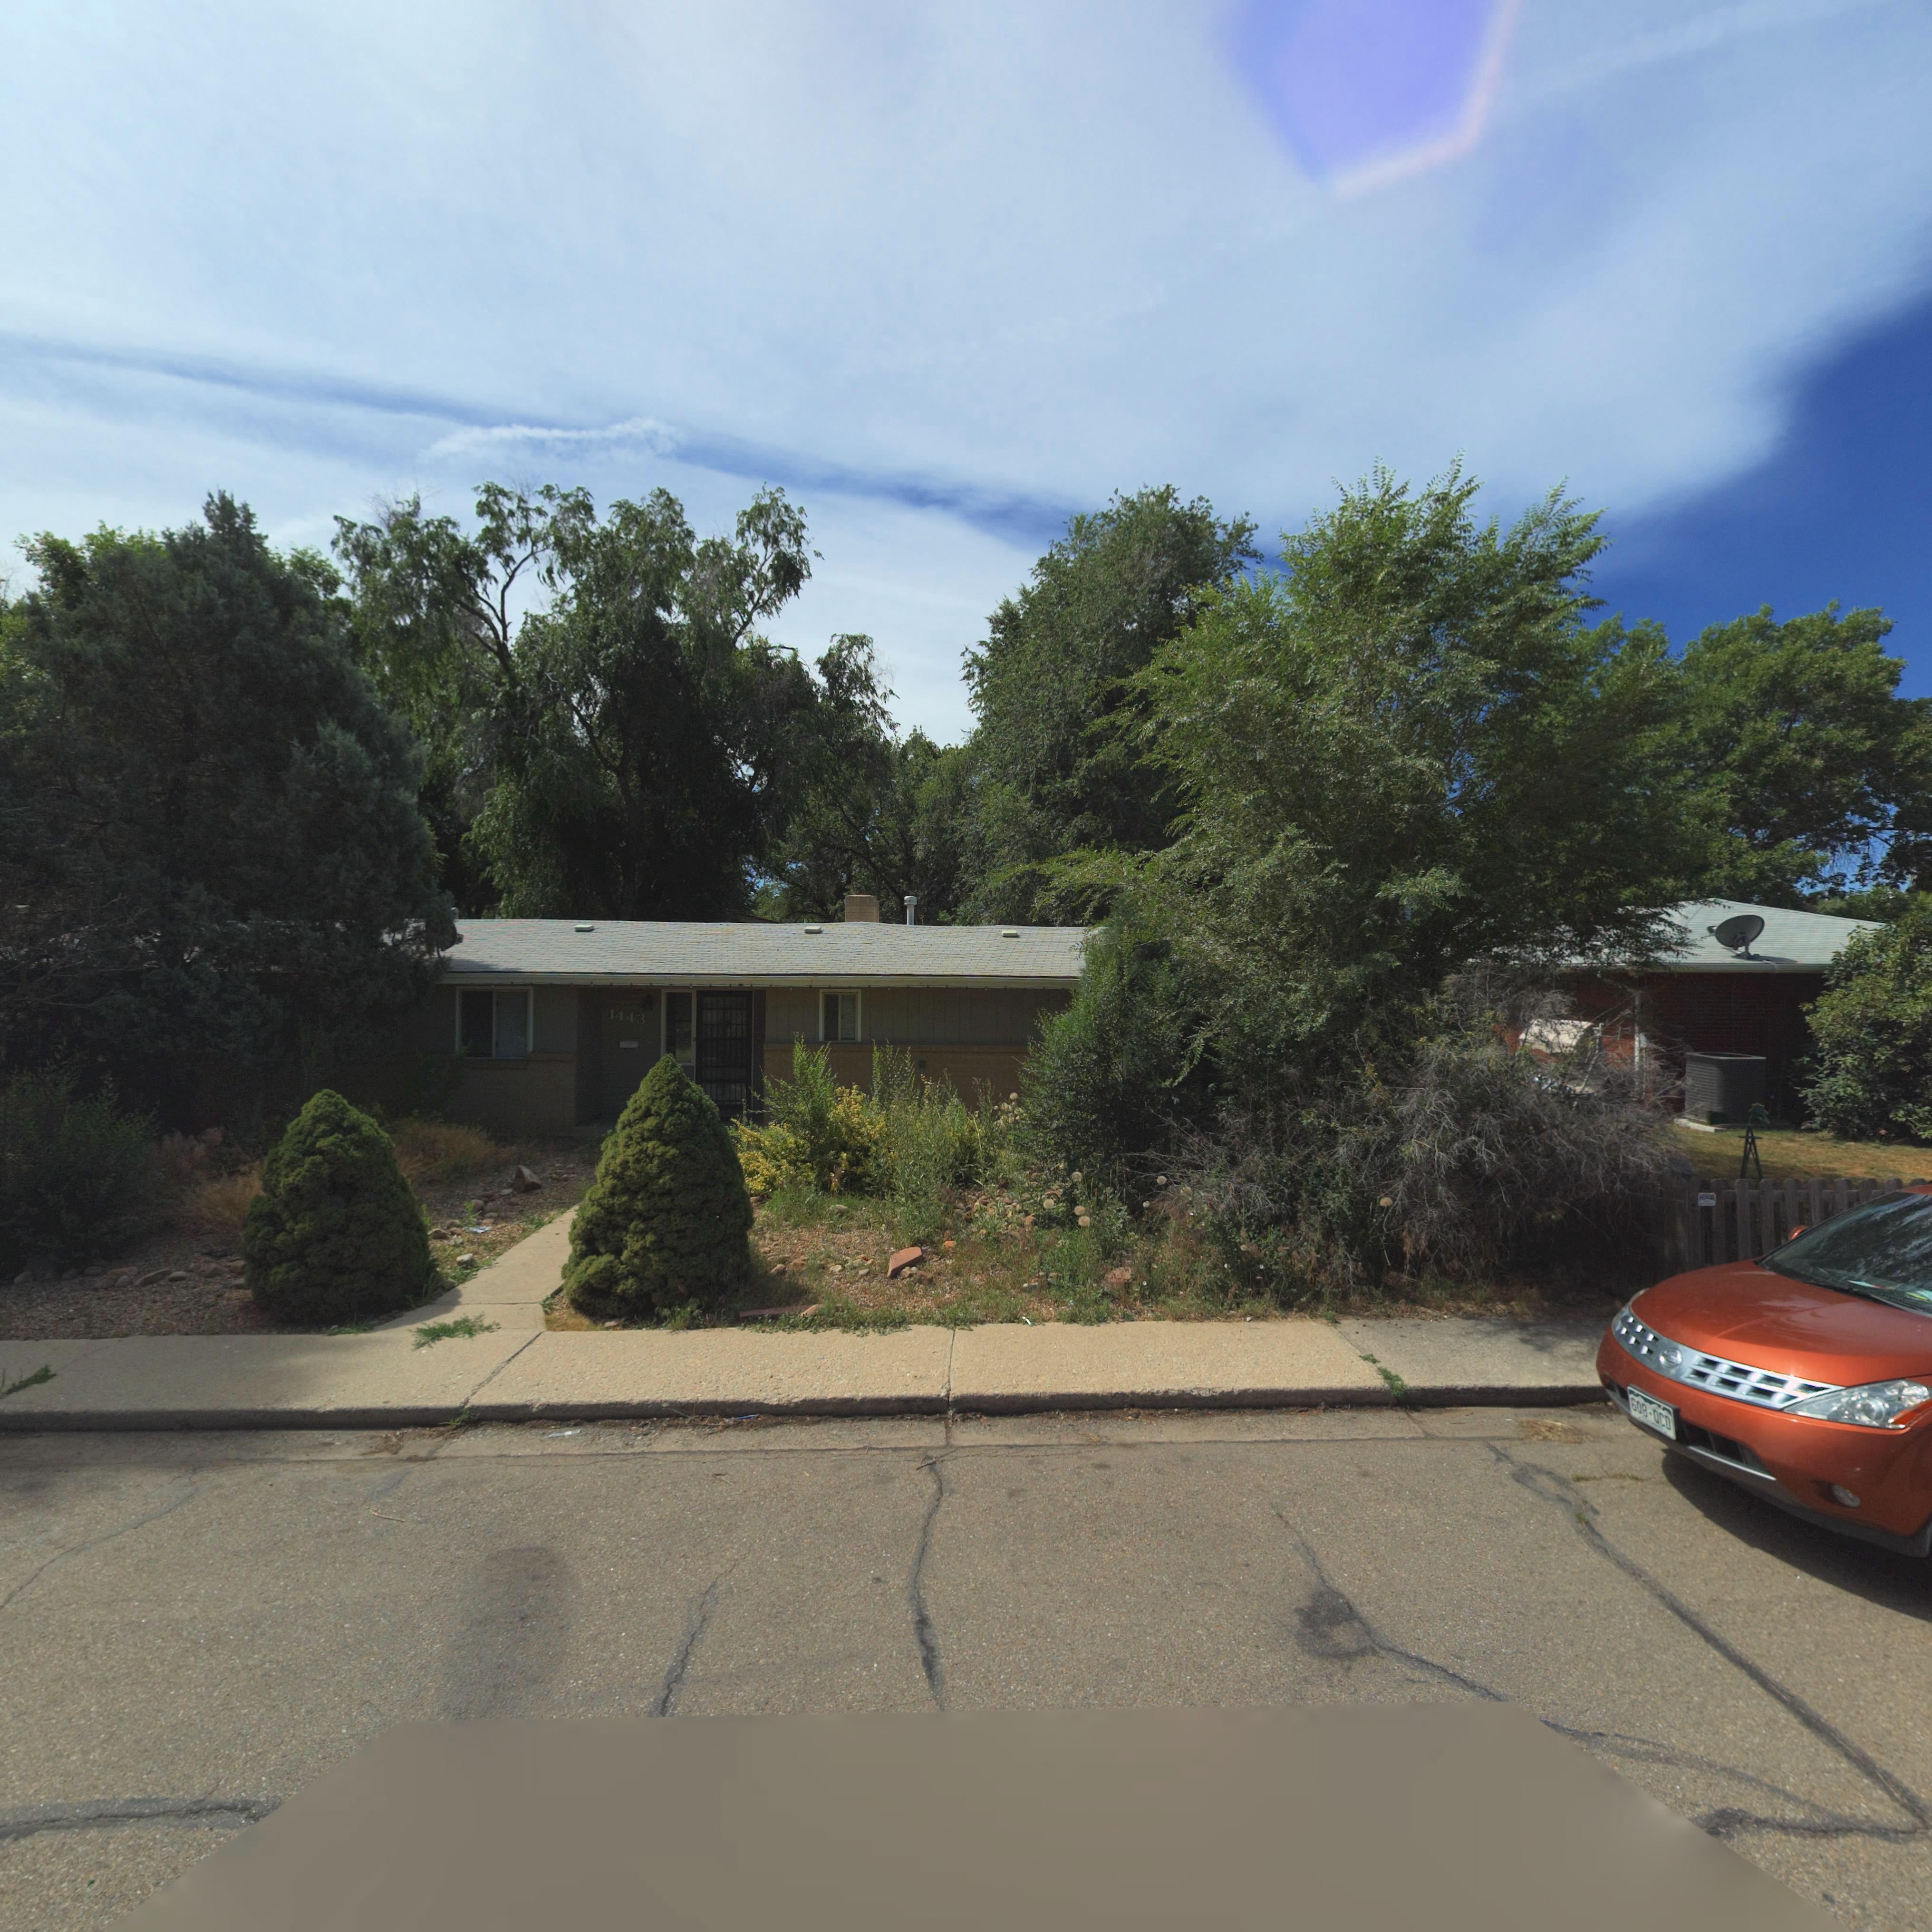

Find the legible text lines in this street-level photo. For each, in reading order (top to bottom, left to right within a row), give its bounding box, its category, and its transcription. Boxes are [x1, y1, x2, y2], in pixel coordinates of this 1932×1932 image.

[609, 1007, 646, 1025] StreetNumber: 1443